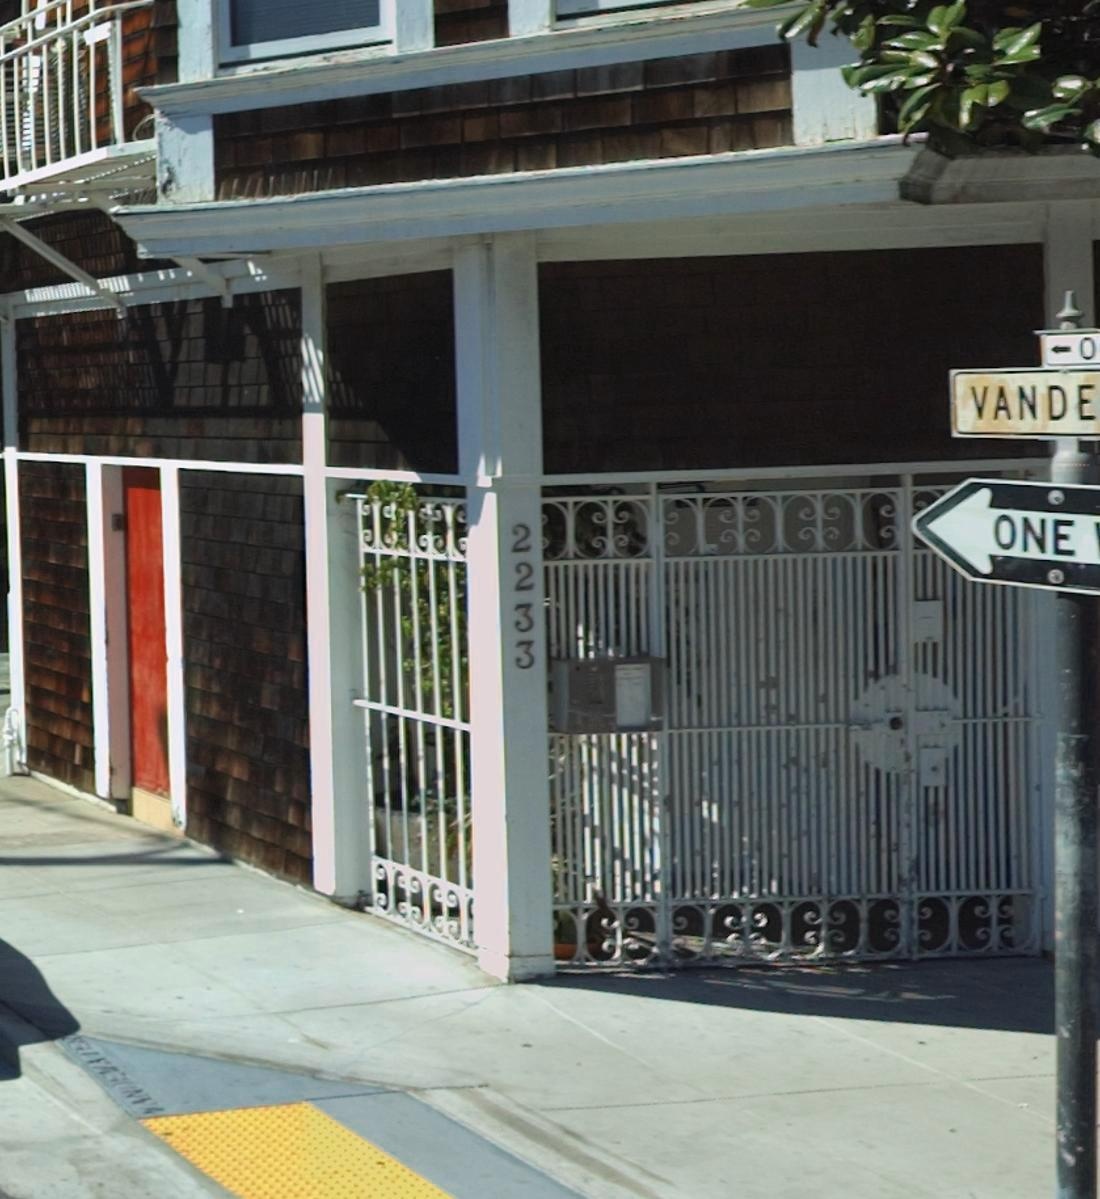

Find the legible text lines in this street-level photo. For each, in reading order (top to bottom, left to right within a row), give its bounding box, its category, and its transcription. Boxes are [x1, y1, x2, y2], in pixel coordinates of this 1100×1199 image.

[1048, 335, 1097, 363] None: <-0
[967, 383, 1097, 423] None: VANDE
[993, 511, 1077, 559] None: ONE
[509, 520, 538, 675] StreetNumber: 2233